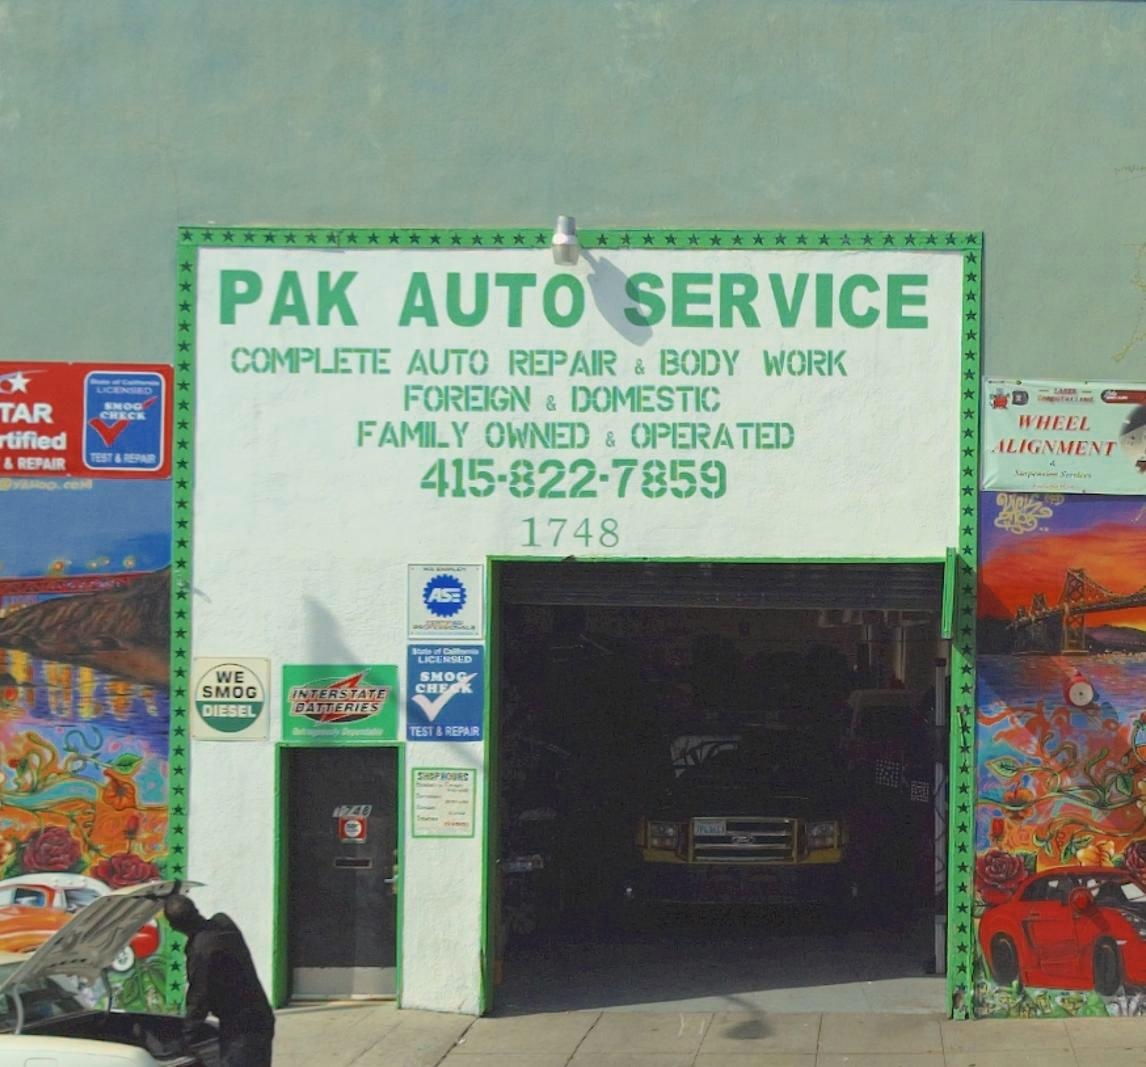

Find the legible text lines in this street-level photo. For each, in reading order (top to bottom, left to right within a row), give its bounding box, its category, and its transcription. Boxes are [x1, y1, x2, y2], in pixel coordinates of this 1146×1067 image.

[211, 263, 935, 335] BusinessName: PAK AUTO SERVICE
[226, 341, 857, 383] None: COMPLETE AUTO REPAIR & BODY WORK
[0, 399, 59, 429] None: TAR
[97, 408, 148, 425] None: CHECK
[110, 399, 136, 414] None: NO
[399, 380, 725, 417] None: FOREIGN & DOMESTIC
[1014, 409, 1097, 436] None: WHEEL
[4, 426, 71, 455] None: tified
[354, 414, 800, 456] None: FAMILY OWNED & OPERATED
[988, 435, 1121, 461] None: ALIGNMENT
[3, 453, 70, 474] None: & REPAIR
[86, 449, 160, 469] None: TEST & REPA*R
[7, 476, 97, 494] None: YAHOO.COM
[412, 452, 732, 506] None: 415-822-7859
[520, 512, 622, 552] StreetNumber: 1748
[425, 585, 455, 605] None: AS
[415, 652, 476, 667] None: LICENSED
[212, 668, 247, 686] None: WE
[416, 669, 458, 687] None: SMO
[200, 683, 260, 700] None: SMOG
[287, 687, 388, 702] None: INTERSTATE
[413, 681, 478, 696] None: CHE*K
[199, 702, 261, 720] None: DIESEL
[292, 701, 383, 715] None: BATTERIES
[413, 768, 471, 784] None: SHOP *O*RS
[334, 803, 371, 818] StreetNumber: 1748